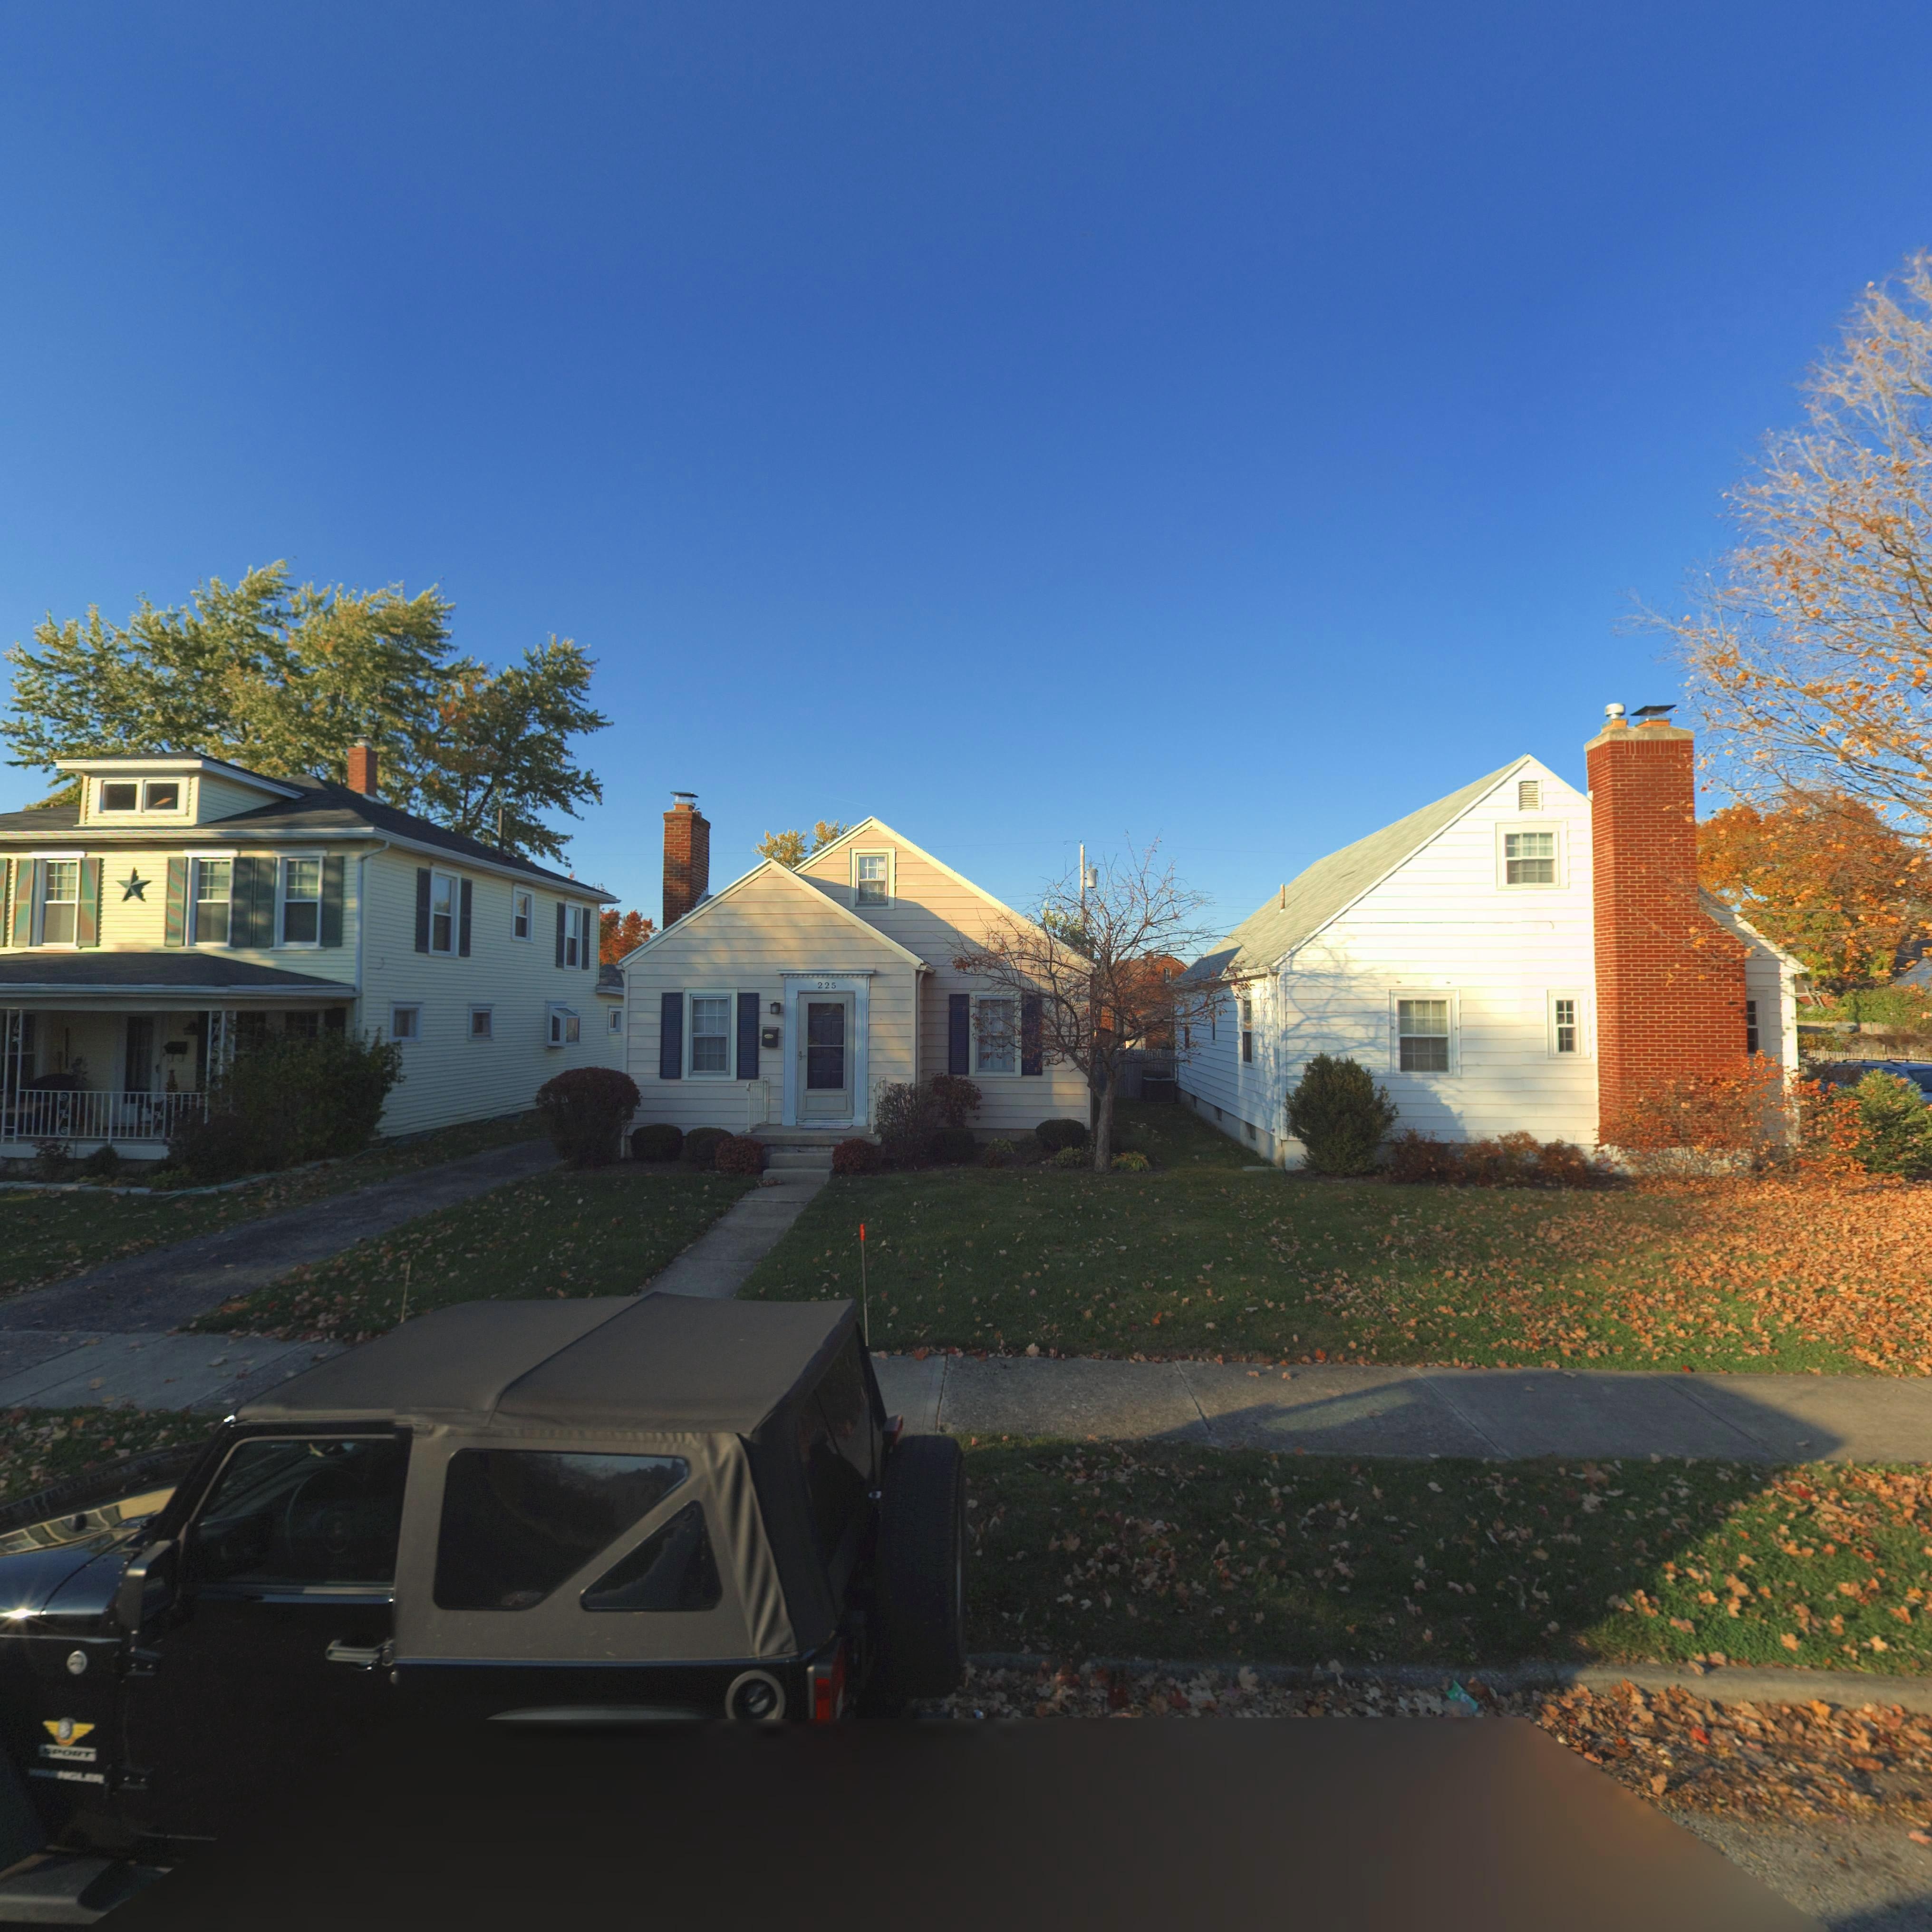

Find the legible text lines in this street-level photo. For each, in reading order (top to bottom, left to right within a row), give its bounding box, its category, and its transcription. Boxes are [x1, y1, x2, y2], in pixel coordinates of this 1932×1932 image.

[817, 982, 836, 989] StreetNumber: 225